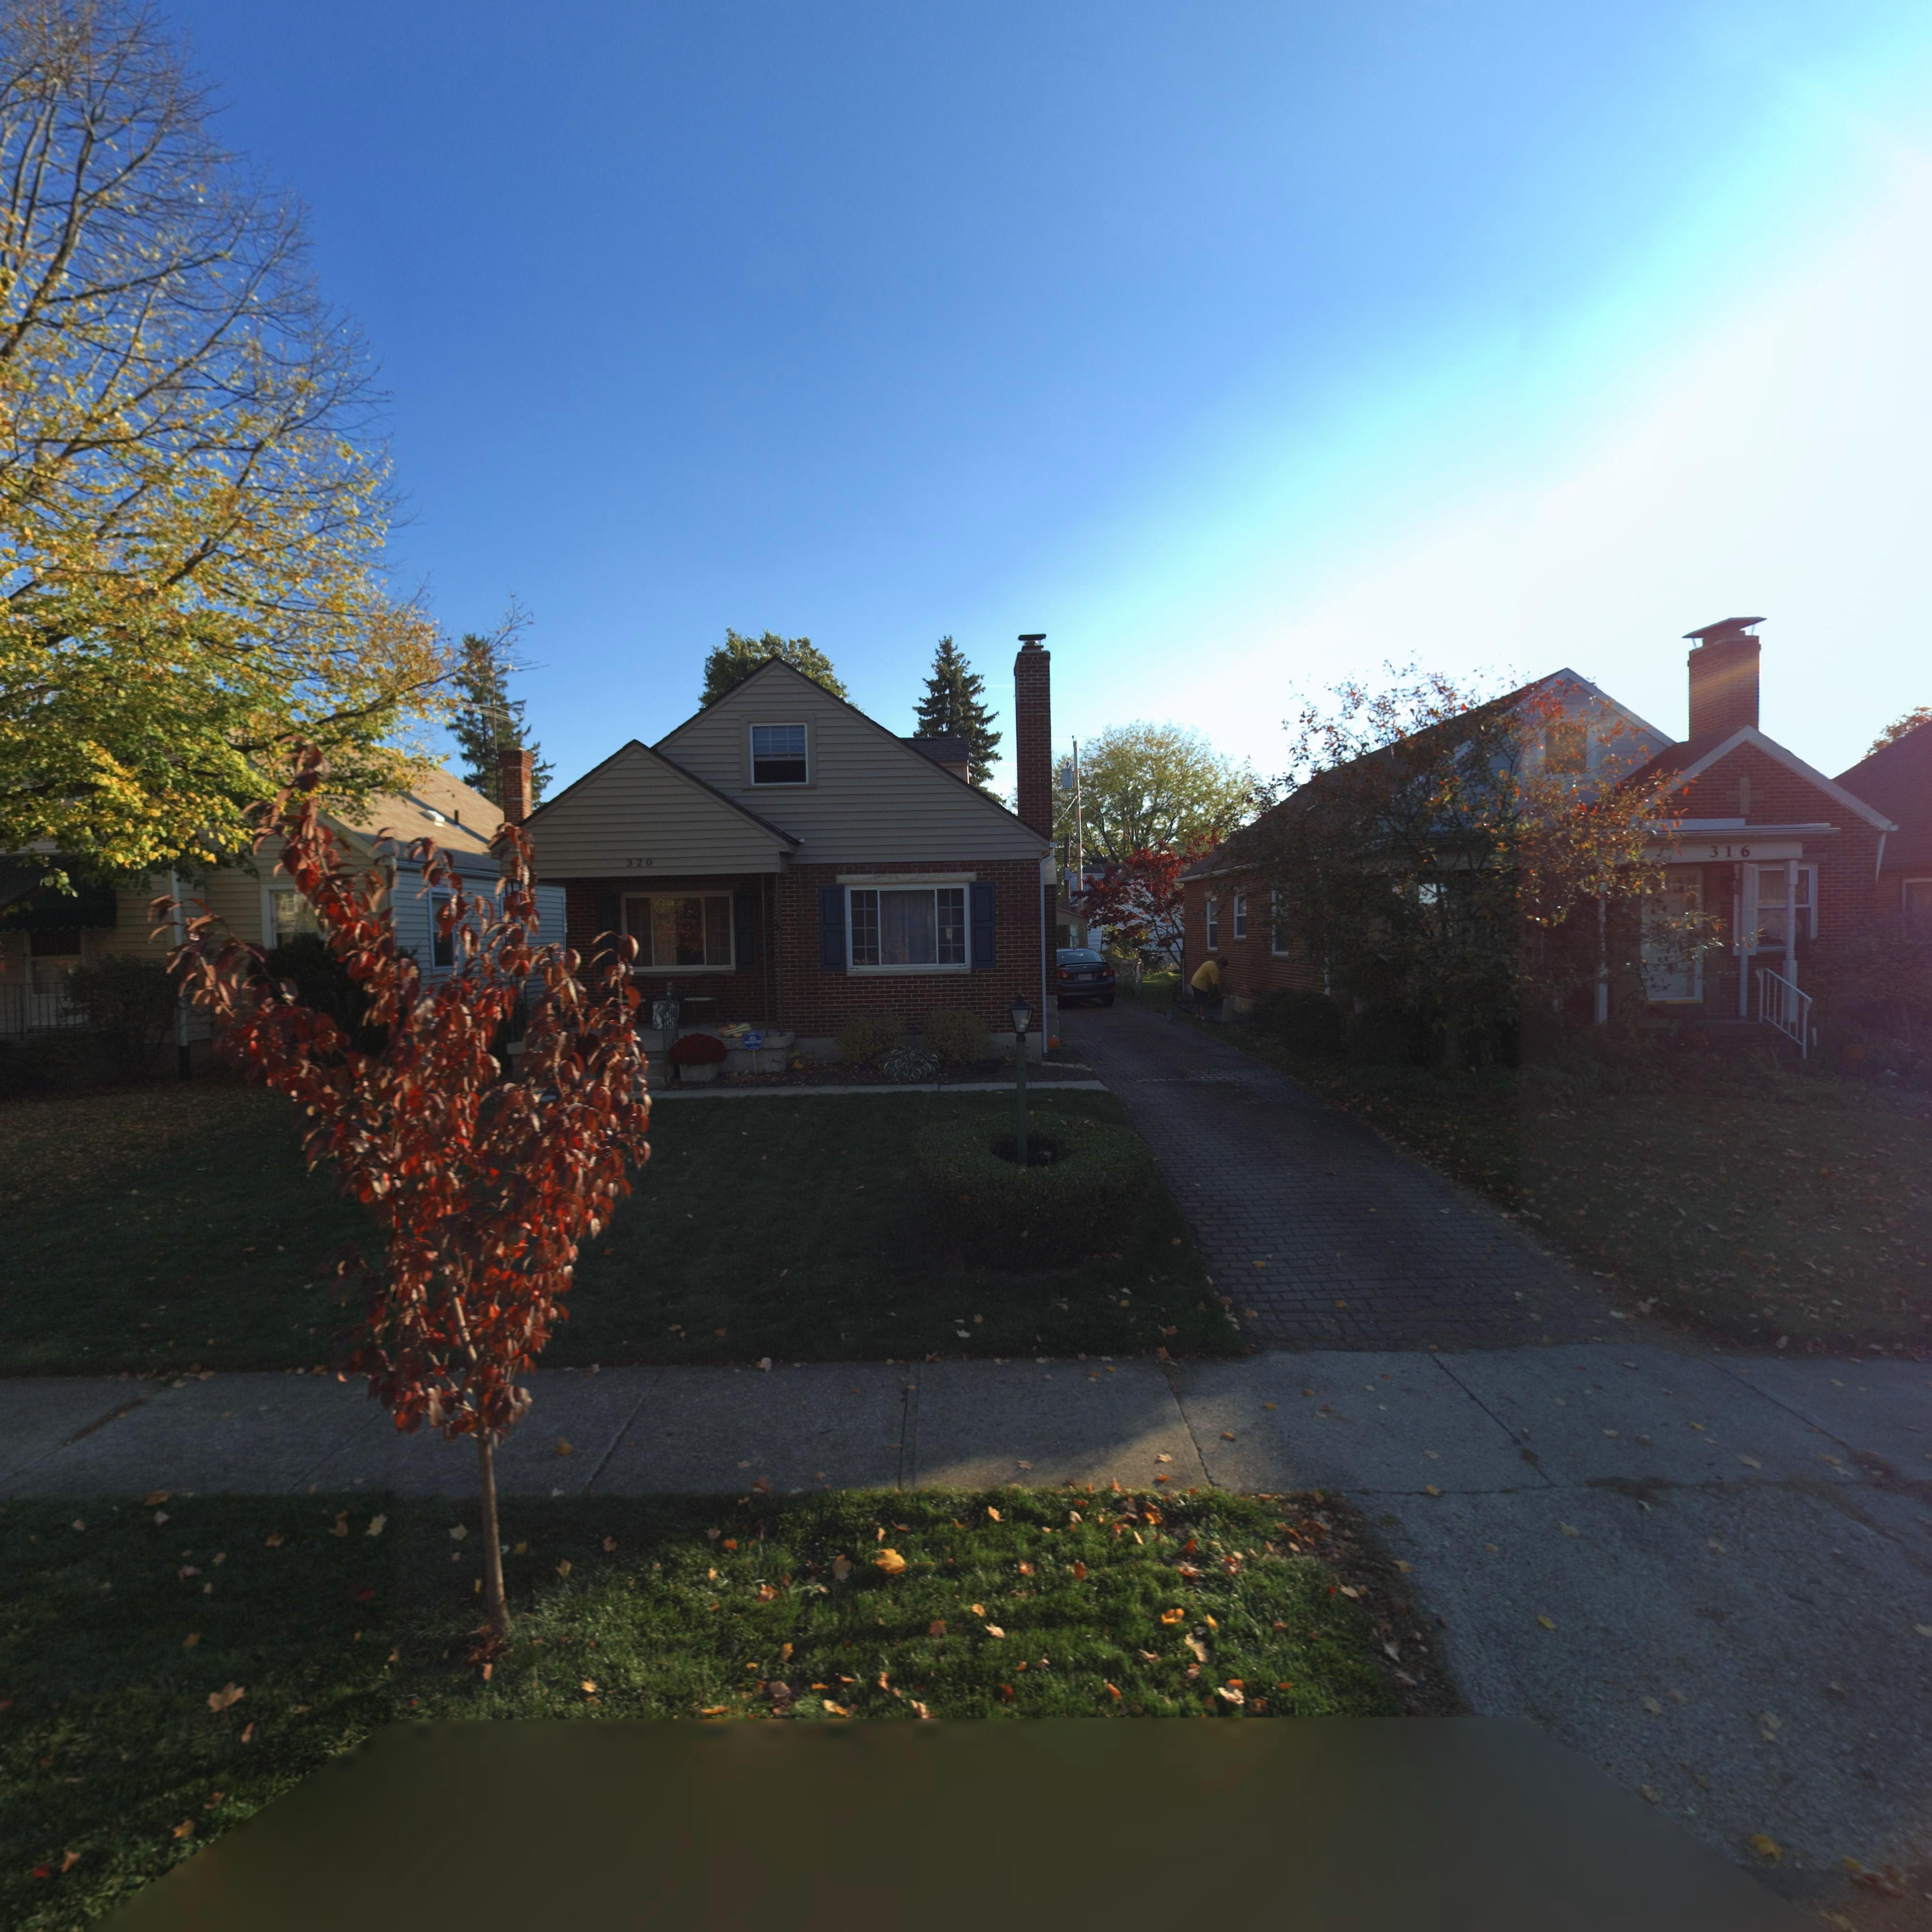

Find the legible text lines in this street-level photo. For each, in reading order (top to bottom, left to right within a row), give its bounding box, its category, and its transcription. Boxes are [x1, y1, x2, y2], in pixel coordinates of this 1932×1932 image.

[1708, 843, 1752, 860] StreetNumber: 316
[625, 857, 653, 868] StreetNumber: 320